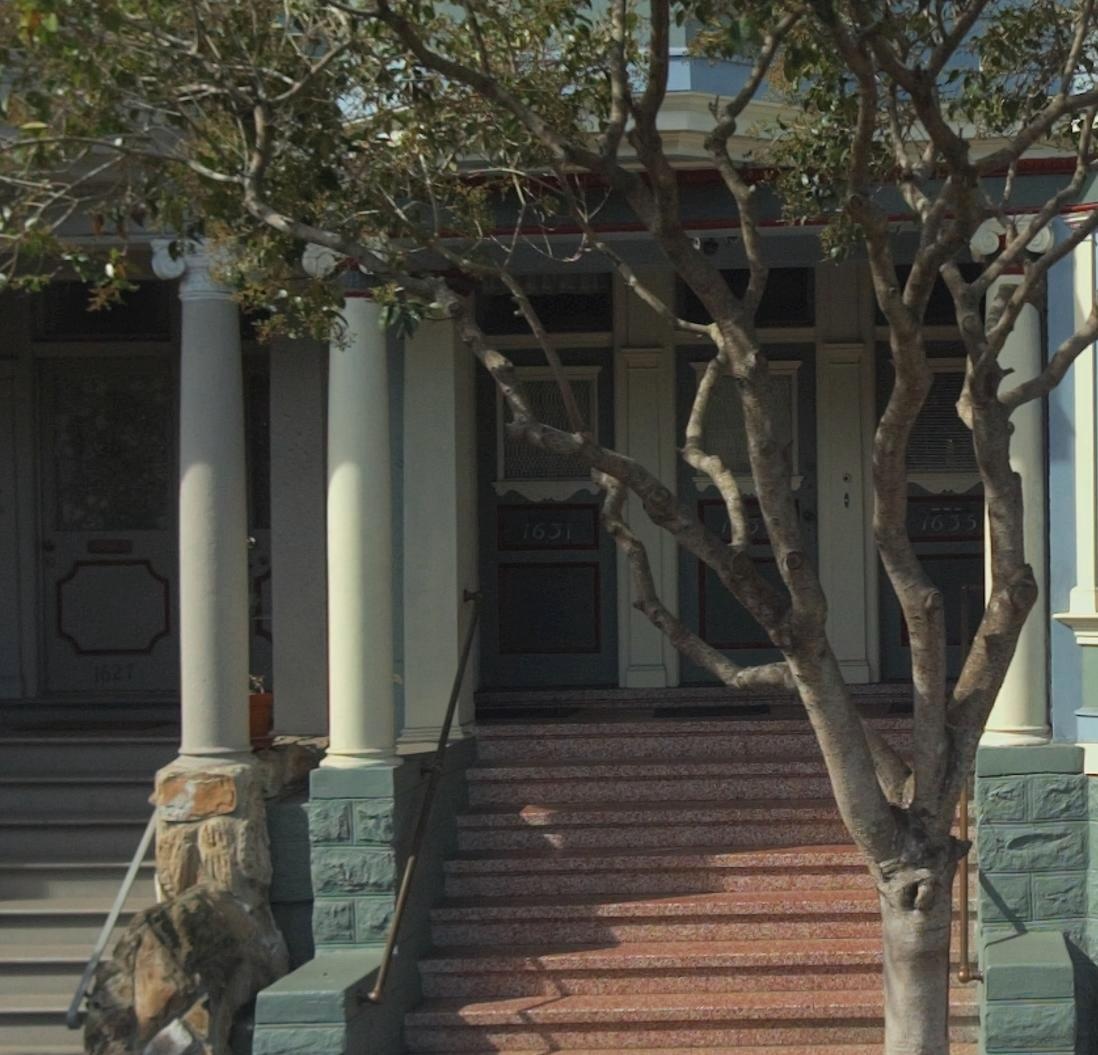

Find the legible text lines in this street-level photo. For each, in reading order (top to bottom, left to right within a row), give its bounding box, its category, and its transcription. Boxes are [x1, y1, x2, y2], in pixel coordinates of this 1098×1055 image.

[520, 519, 573, 543] StreetNumber: 1631
[919, 511, 980, 534] StreetNumber: 1635
[92, 659, 135, 686] StreetNumber: 1627